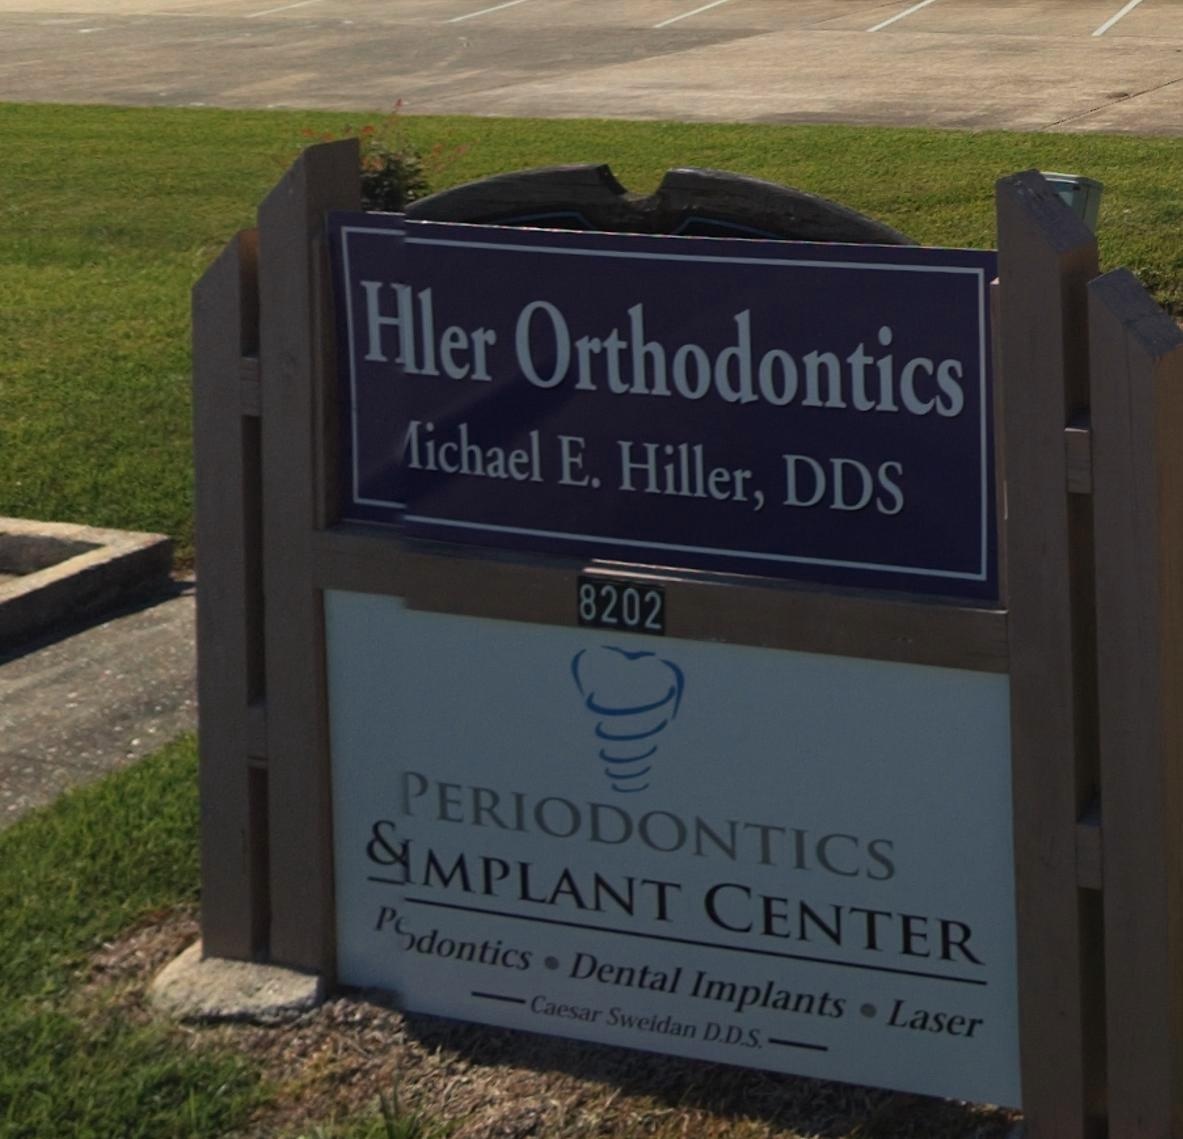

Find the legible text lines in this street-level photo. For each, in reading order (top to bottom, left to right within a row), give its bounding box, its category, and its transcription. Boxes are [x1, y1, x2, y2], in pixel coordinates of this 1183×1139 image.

[413, 278, 969, 427] BusinessName: ler Orthodontics
[420, 415, 908, 521] None: ichael E. Hiller, DDS
[575, 579, 667, 637] StreetNumber: 8202
[397, 761, 900, 892] BusinessName: PERIODONTICS
[370, 899, 405, 937] None: P
[351, 810, 993, 975] BusinessName: &IMPLANT CENTER
[521, 988, 768, 1056] None: Caesar Sweidan D.D.S.
[409, 920, 994, 1043] None: dontics * Dental Implants * Laser